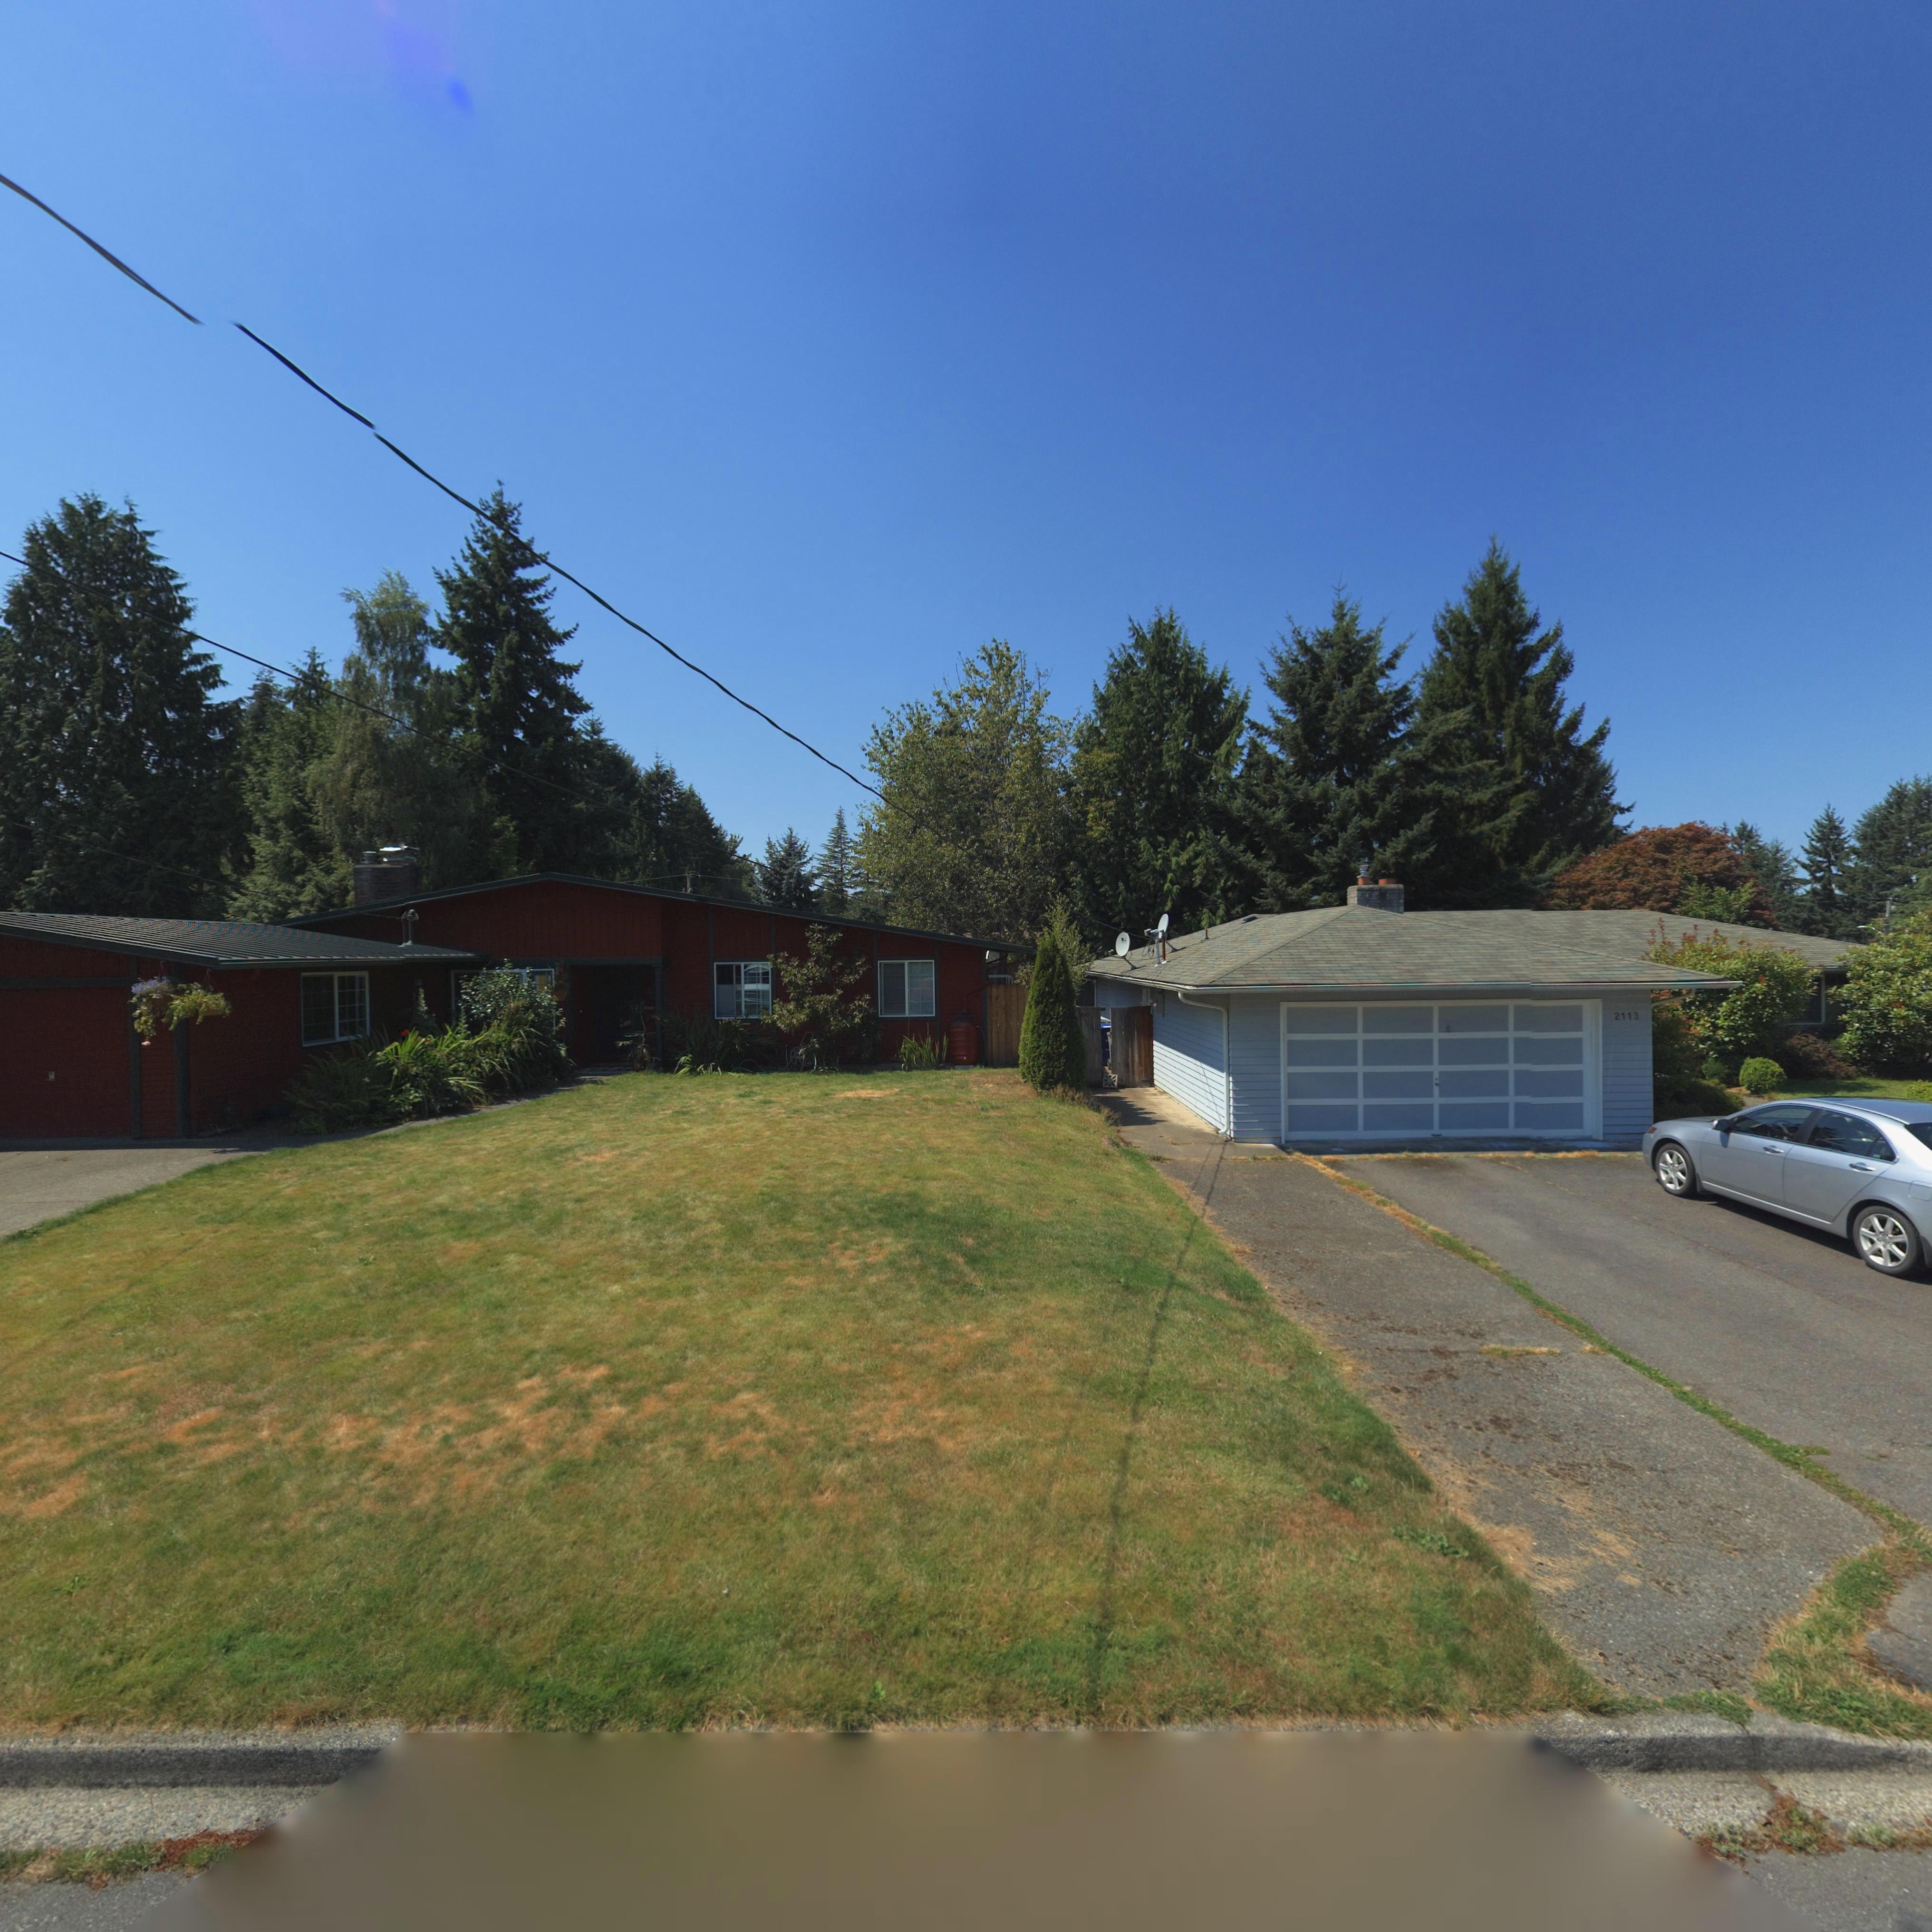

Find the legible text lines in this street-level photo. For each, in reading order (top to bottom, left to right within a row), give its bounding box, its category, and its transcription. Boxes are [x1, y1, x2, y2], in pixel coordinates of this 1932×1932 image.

[1614, 1011, 1640, 1020] StreetNumber: 2113